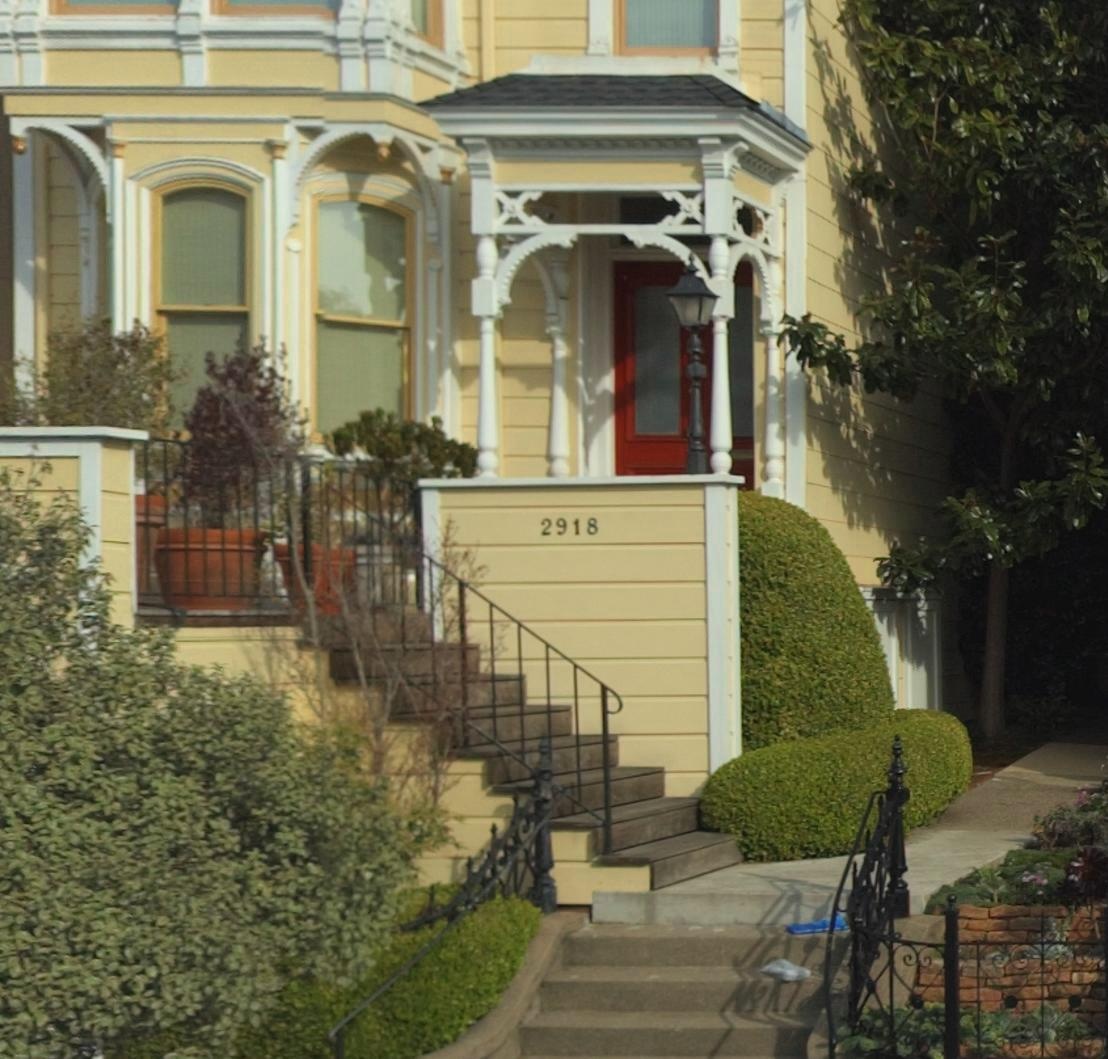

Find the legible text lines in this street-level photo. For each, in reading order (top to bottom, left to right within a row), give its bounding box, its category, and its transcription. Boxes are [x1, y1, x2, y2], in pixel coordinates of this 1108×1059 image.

[539, 515, 600, 538] StreetNumber: 2918